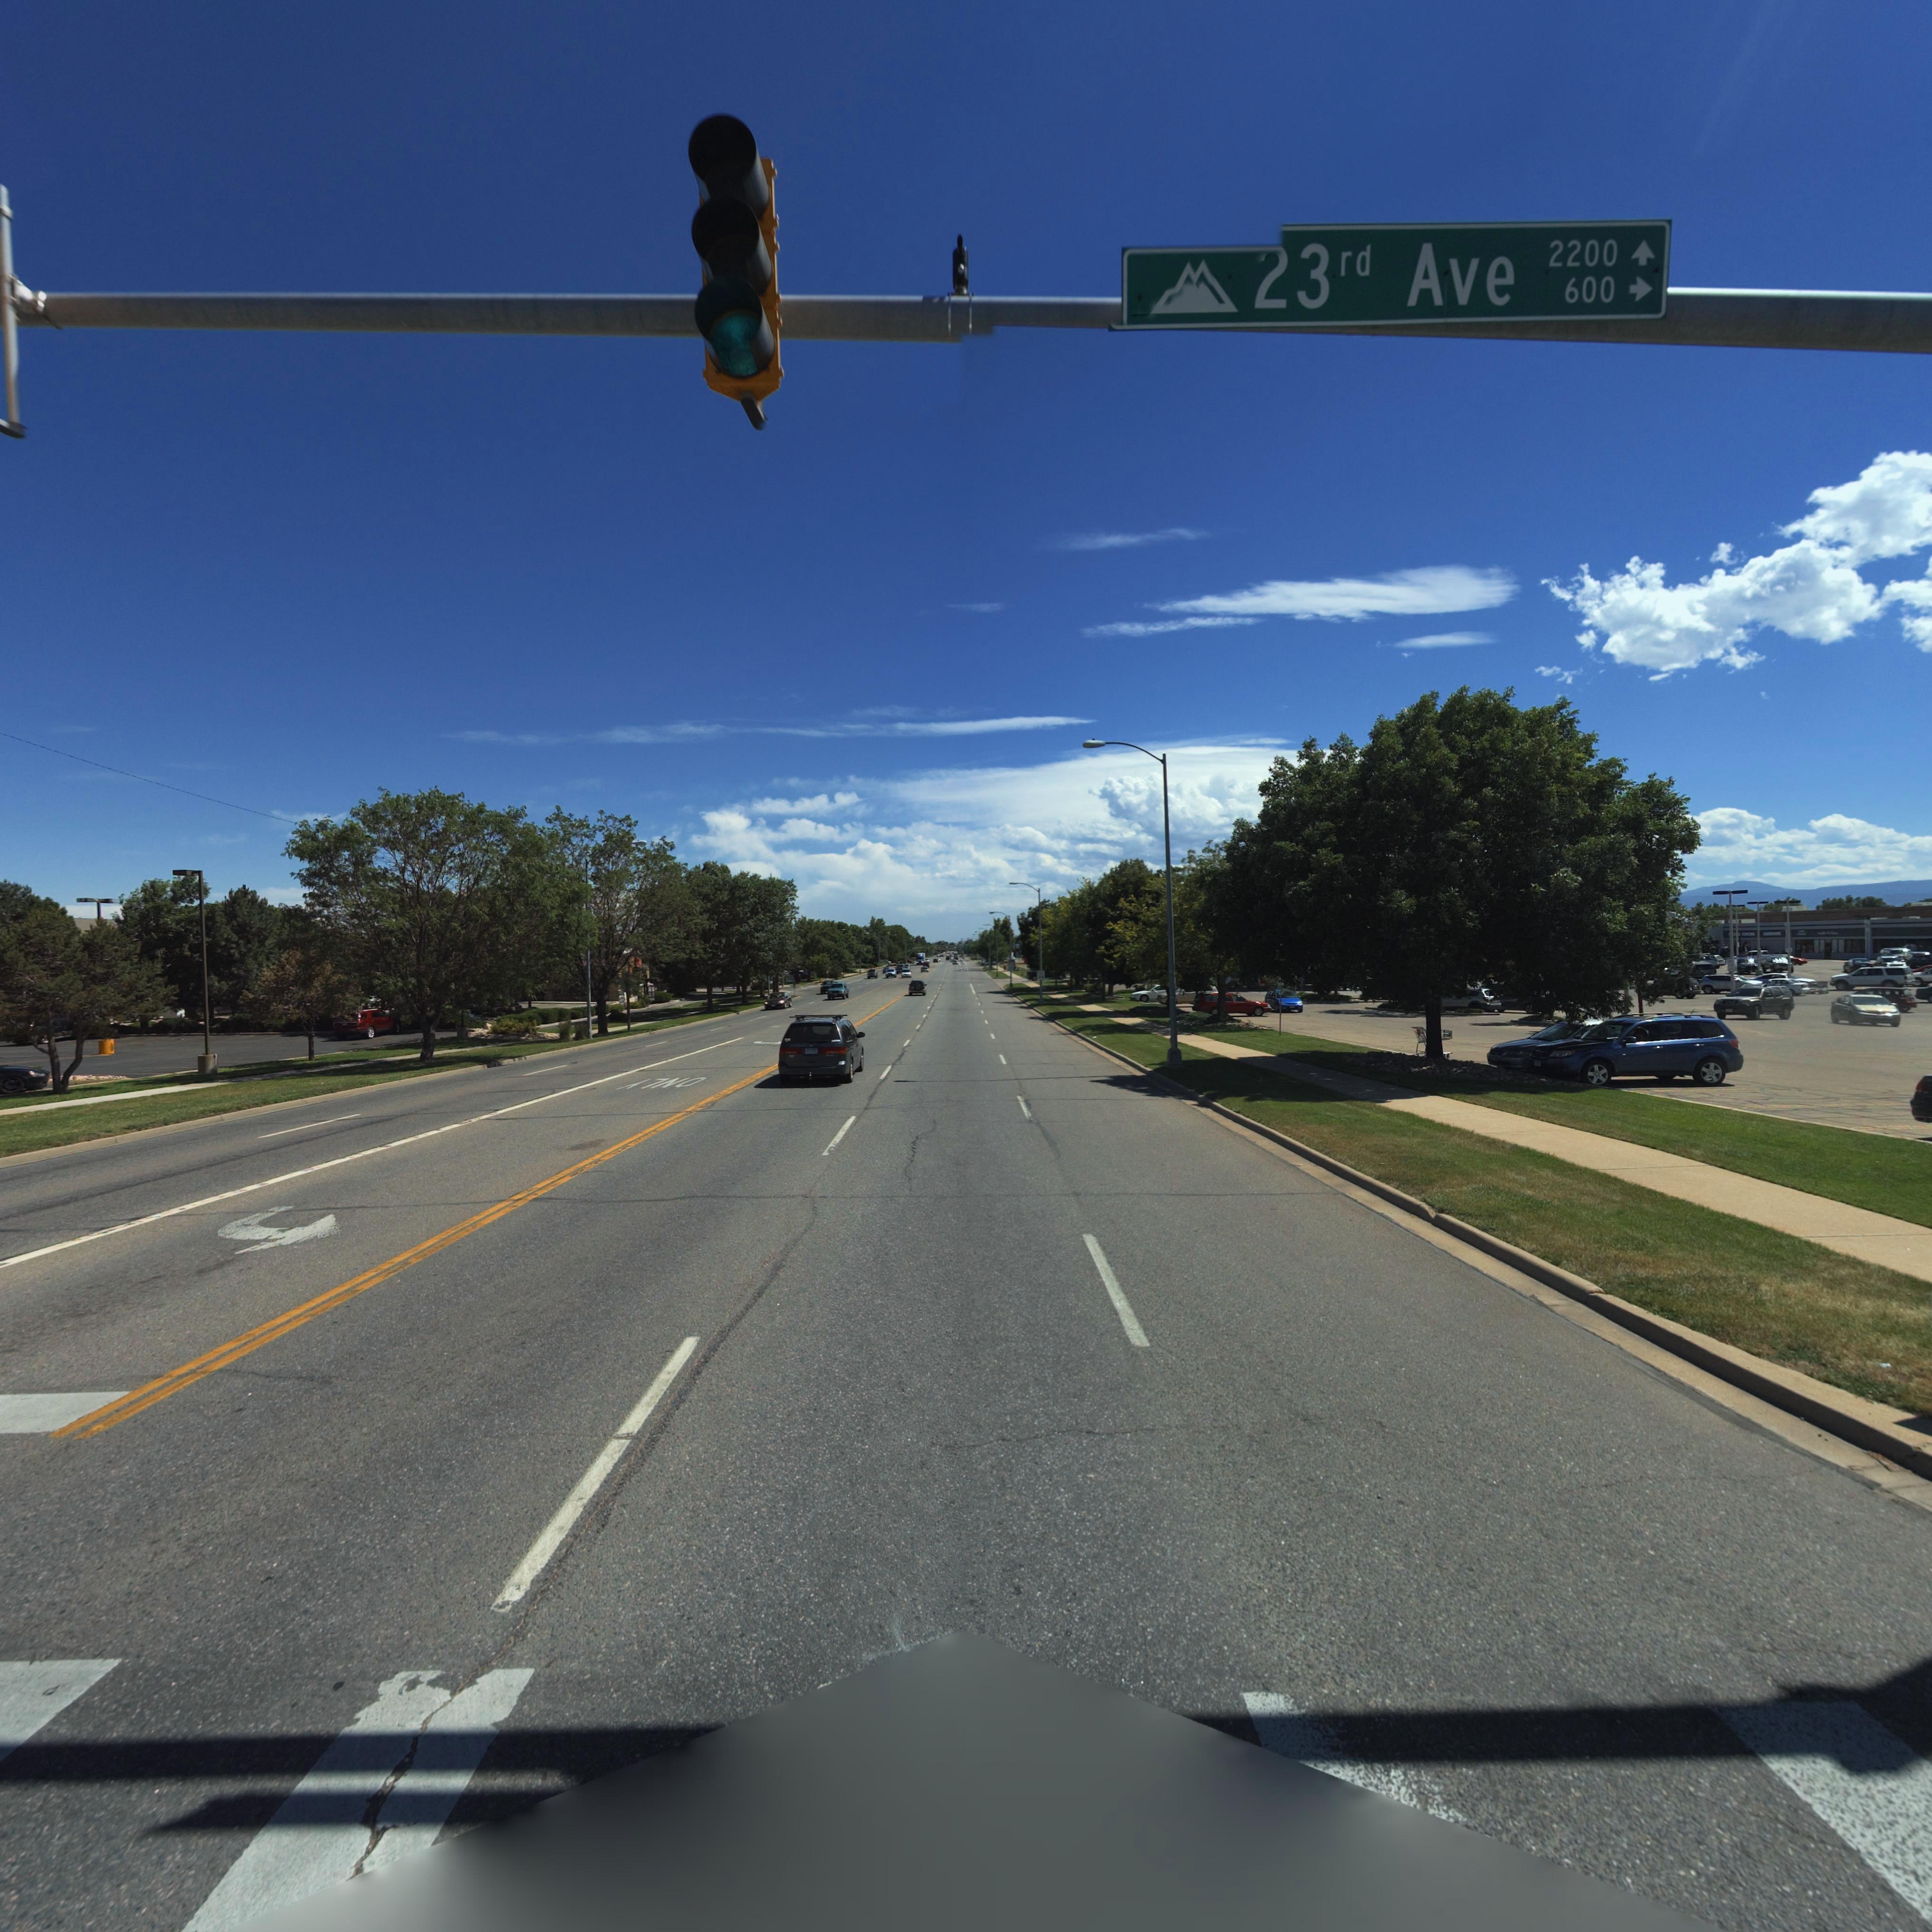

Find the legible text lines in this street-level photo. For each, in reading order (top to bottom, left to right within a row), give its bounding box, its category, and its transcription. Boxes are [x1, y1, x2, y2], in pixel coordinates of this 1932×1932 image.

[1548, 238, 1619, 268] StreetNumberRange: 2200
[1254, 241, 1517, 309] StreetName: 23rd Ave
[1564, 275, 1653, 304] StreetNumberRange: 600 ->